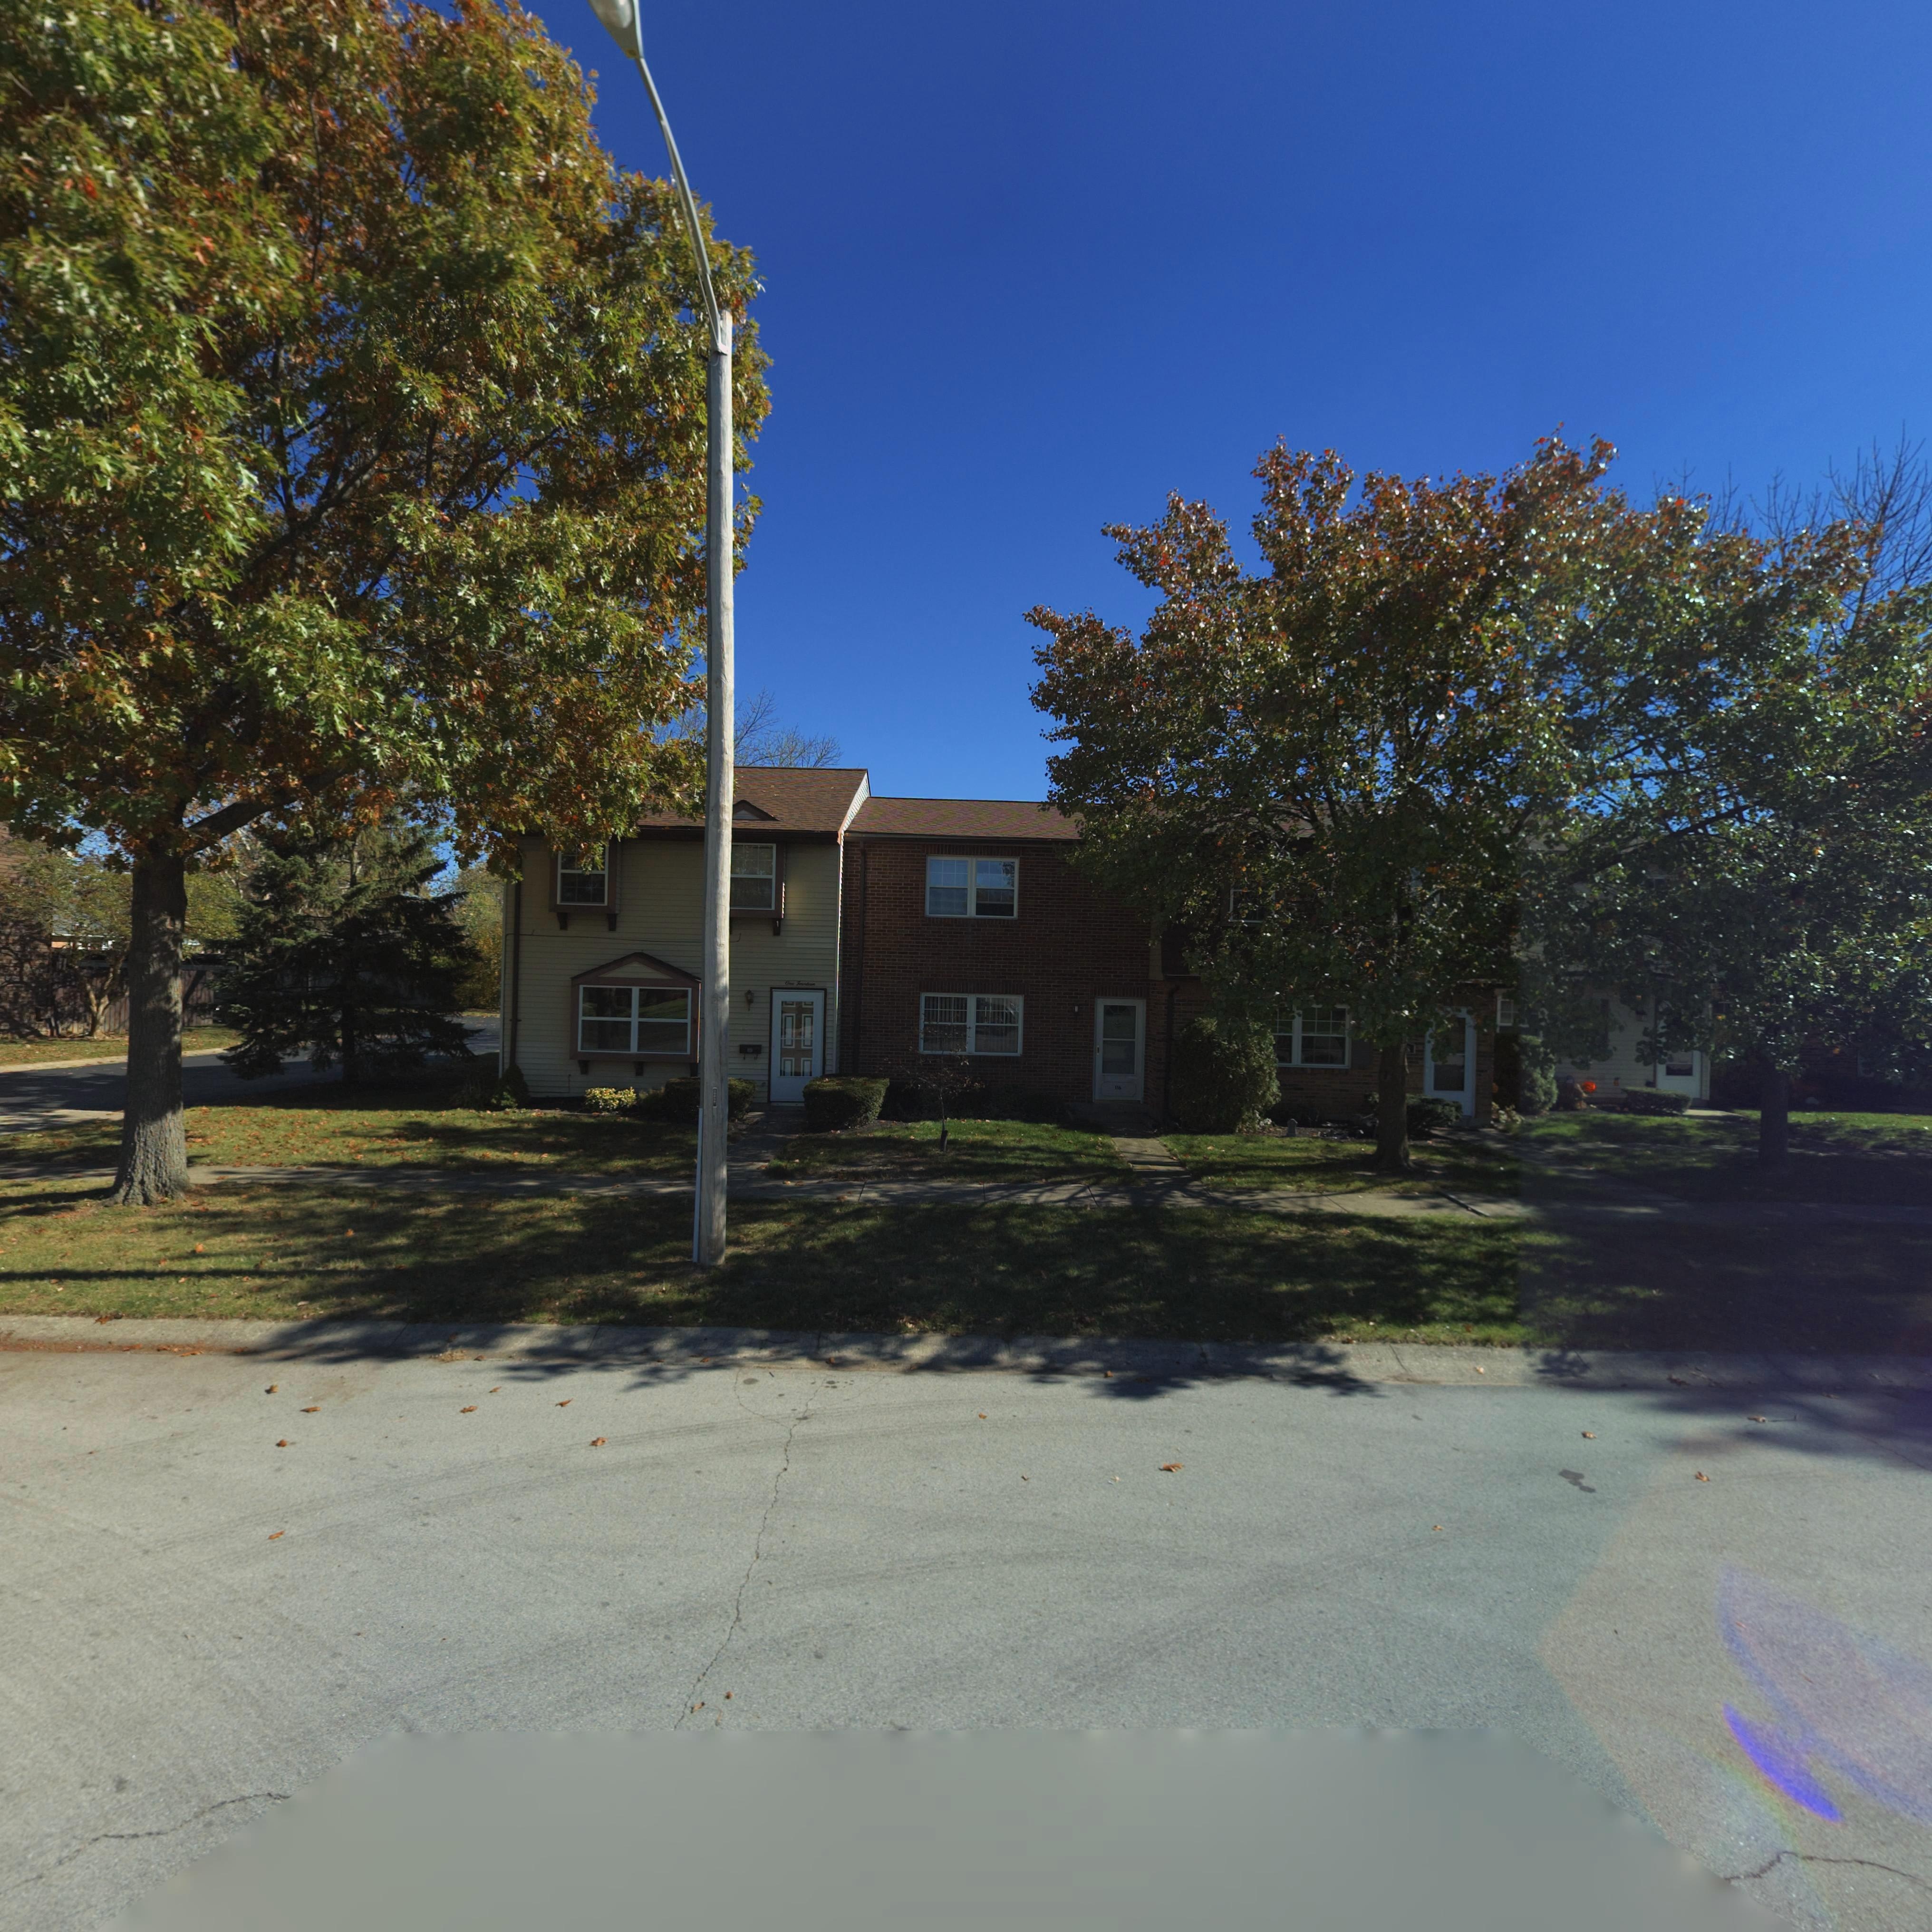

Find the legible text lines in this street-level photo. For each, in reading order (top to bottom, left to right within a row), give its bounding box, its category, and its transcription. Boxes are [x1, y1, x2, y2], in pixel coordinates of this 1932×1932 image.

[1114, 1084, 1122, 1091] StreetNumber: 116